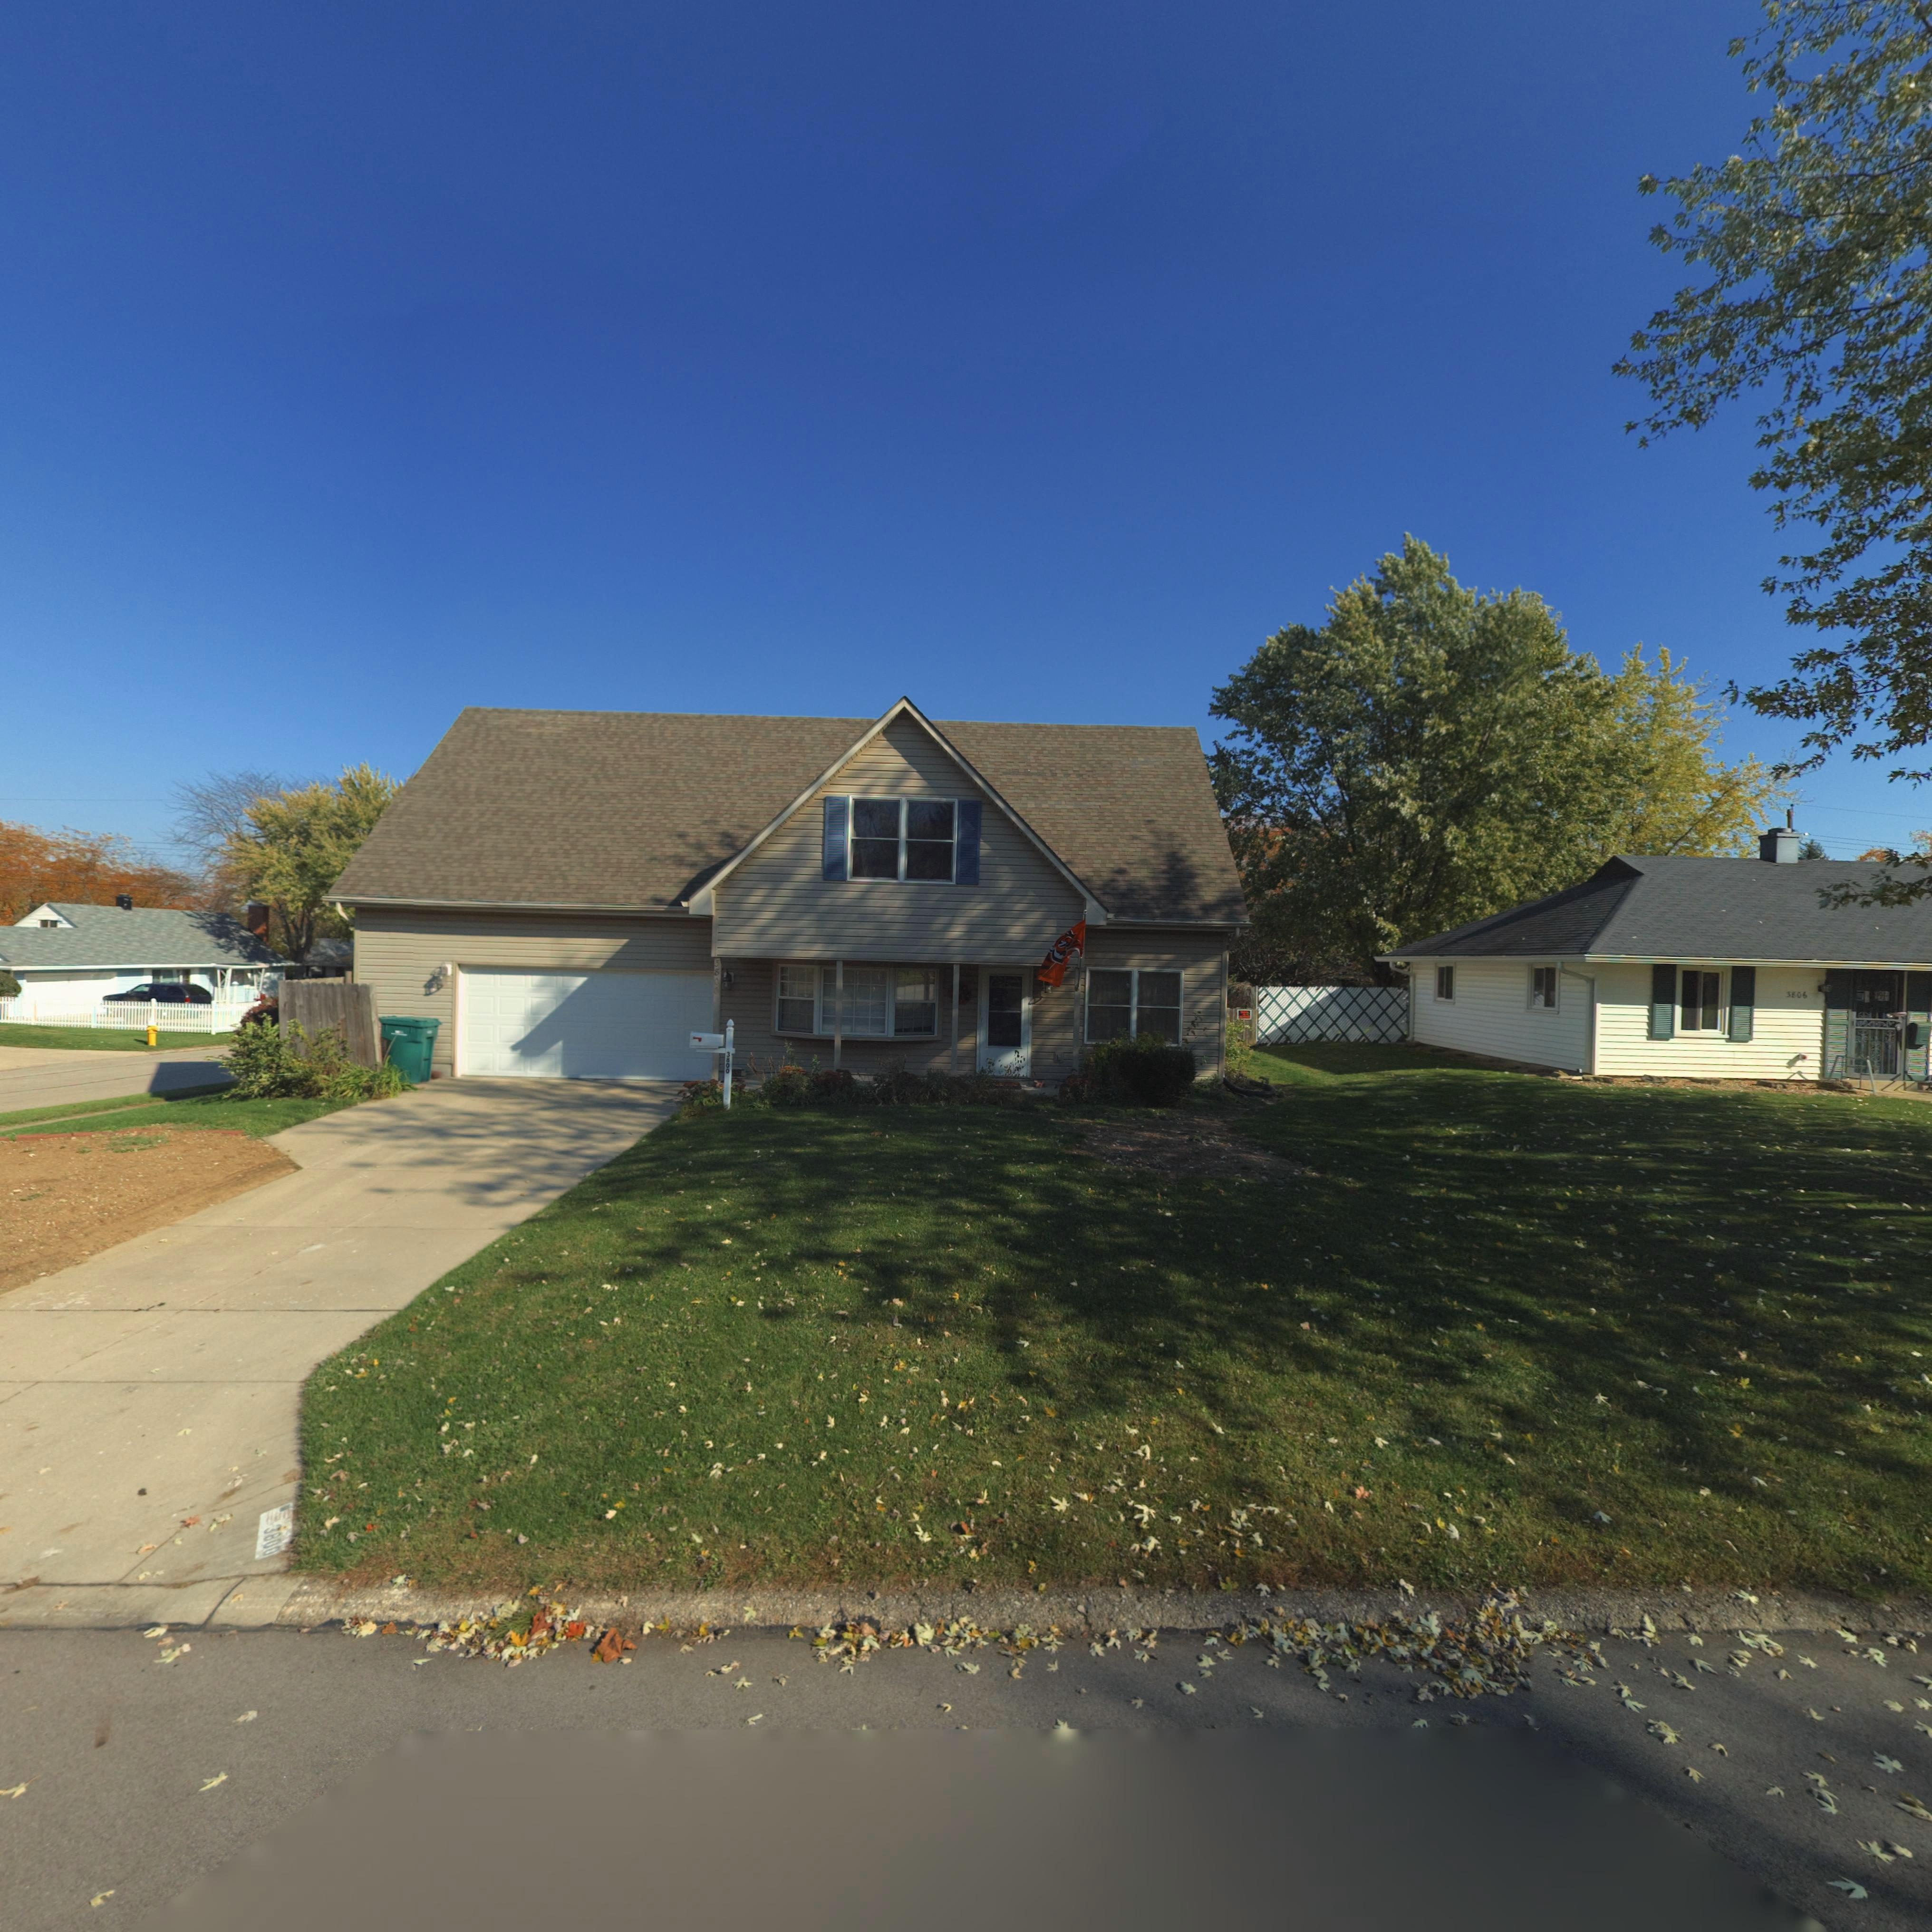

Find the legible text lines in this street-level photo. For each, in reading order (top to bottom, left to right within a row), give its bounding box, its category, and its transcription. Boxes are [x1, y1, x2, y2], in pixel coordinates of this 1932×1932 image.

[712, 957, 722, 996] StreetNumber: 3800
[724, 1050, 732, 1075] StreetNumber: 3800